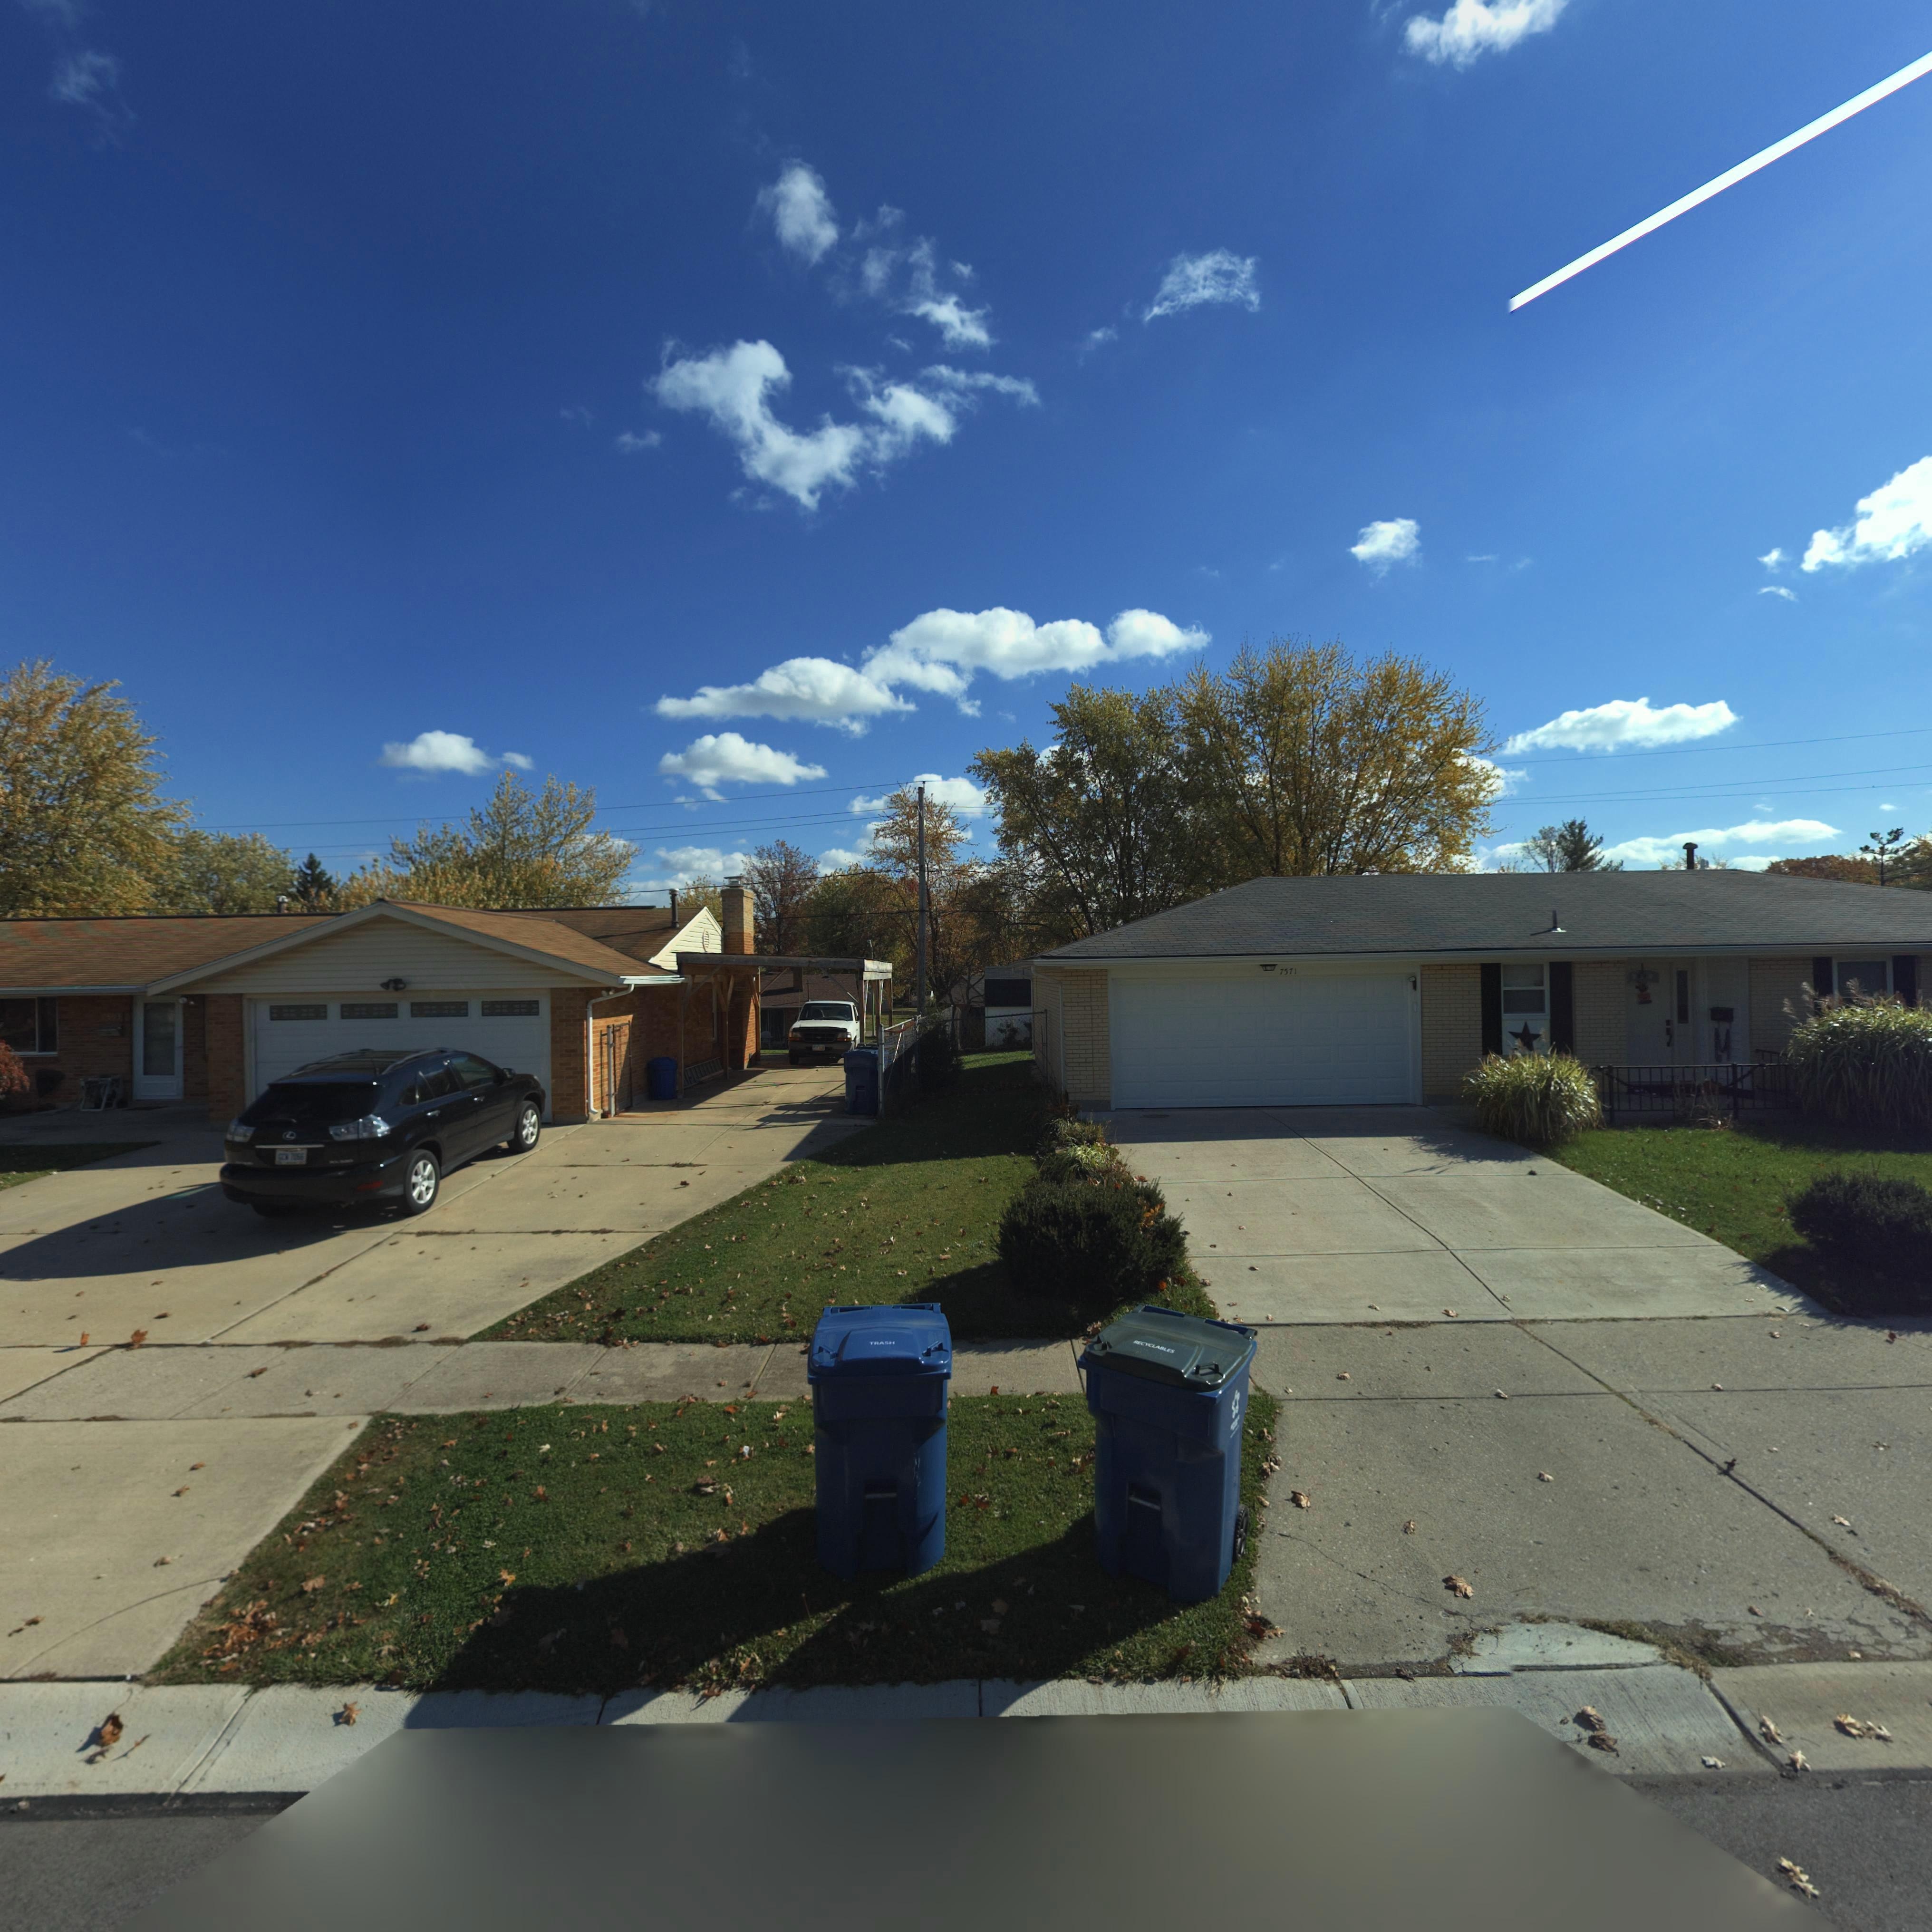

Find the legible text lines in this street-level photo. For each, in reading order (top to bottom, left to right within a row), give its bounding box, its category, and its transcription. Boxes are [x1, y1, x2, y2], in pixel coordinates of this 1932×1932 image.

[1278, 966, 1298, 976] StreetNumber: 7571